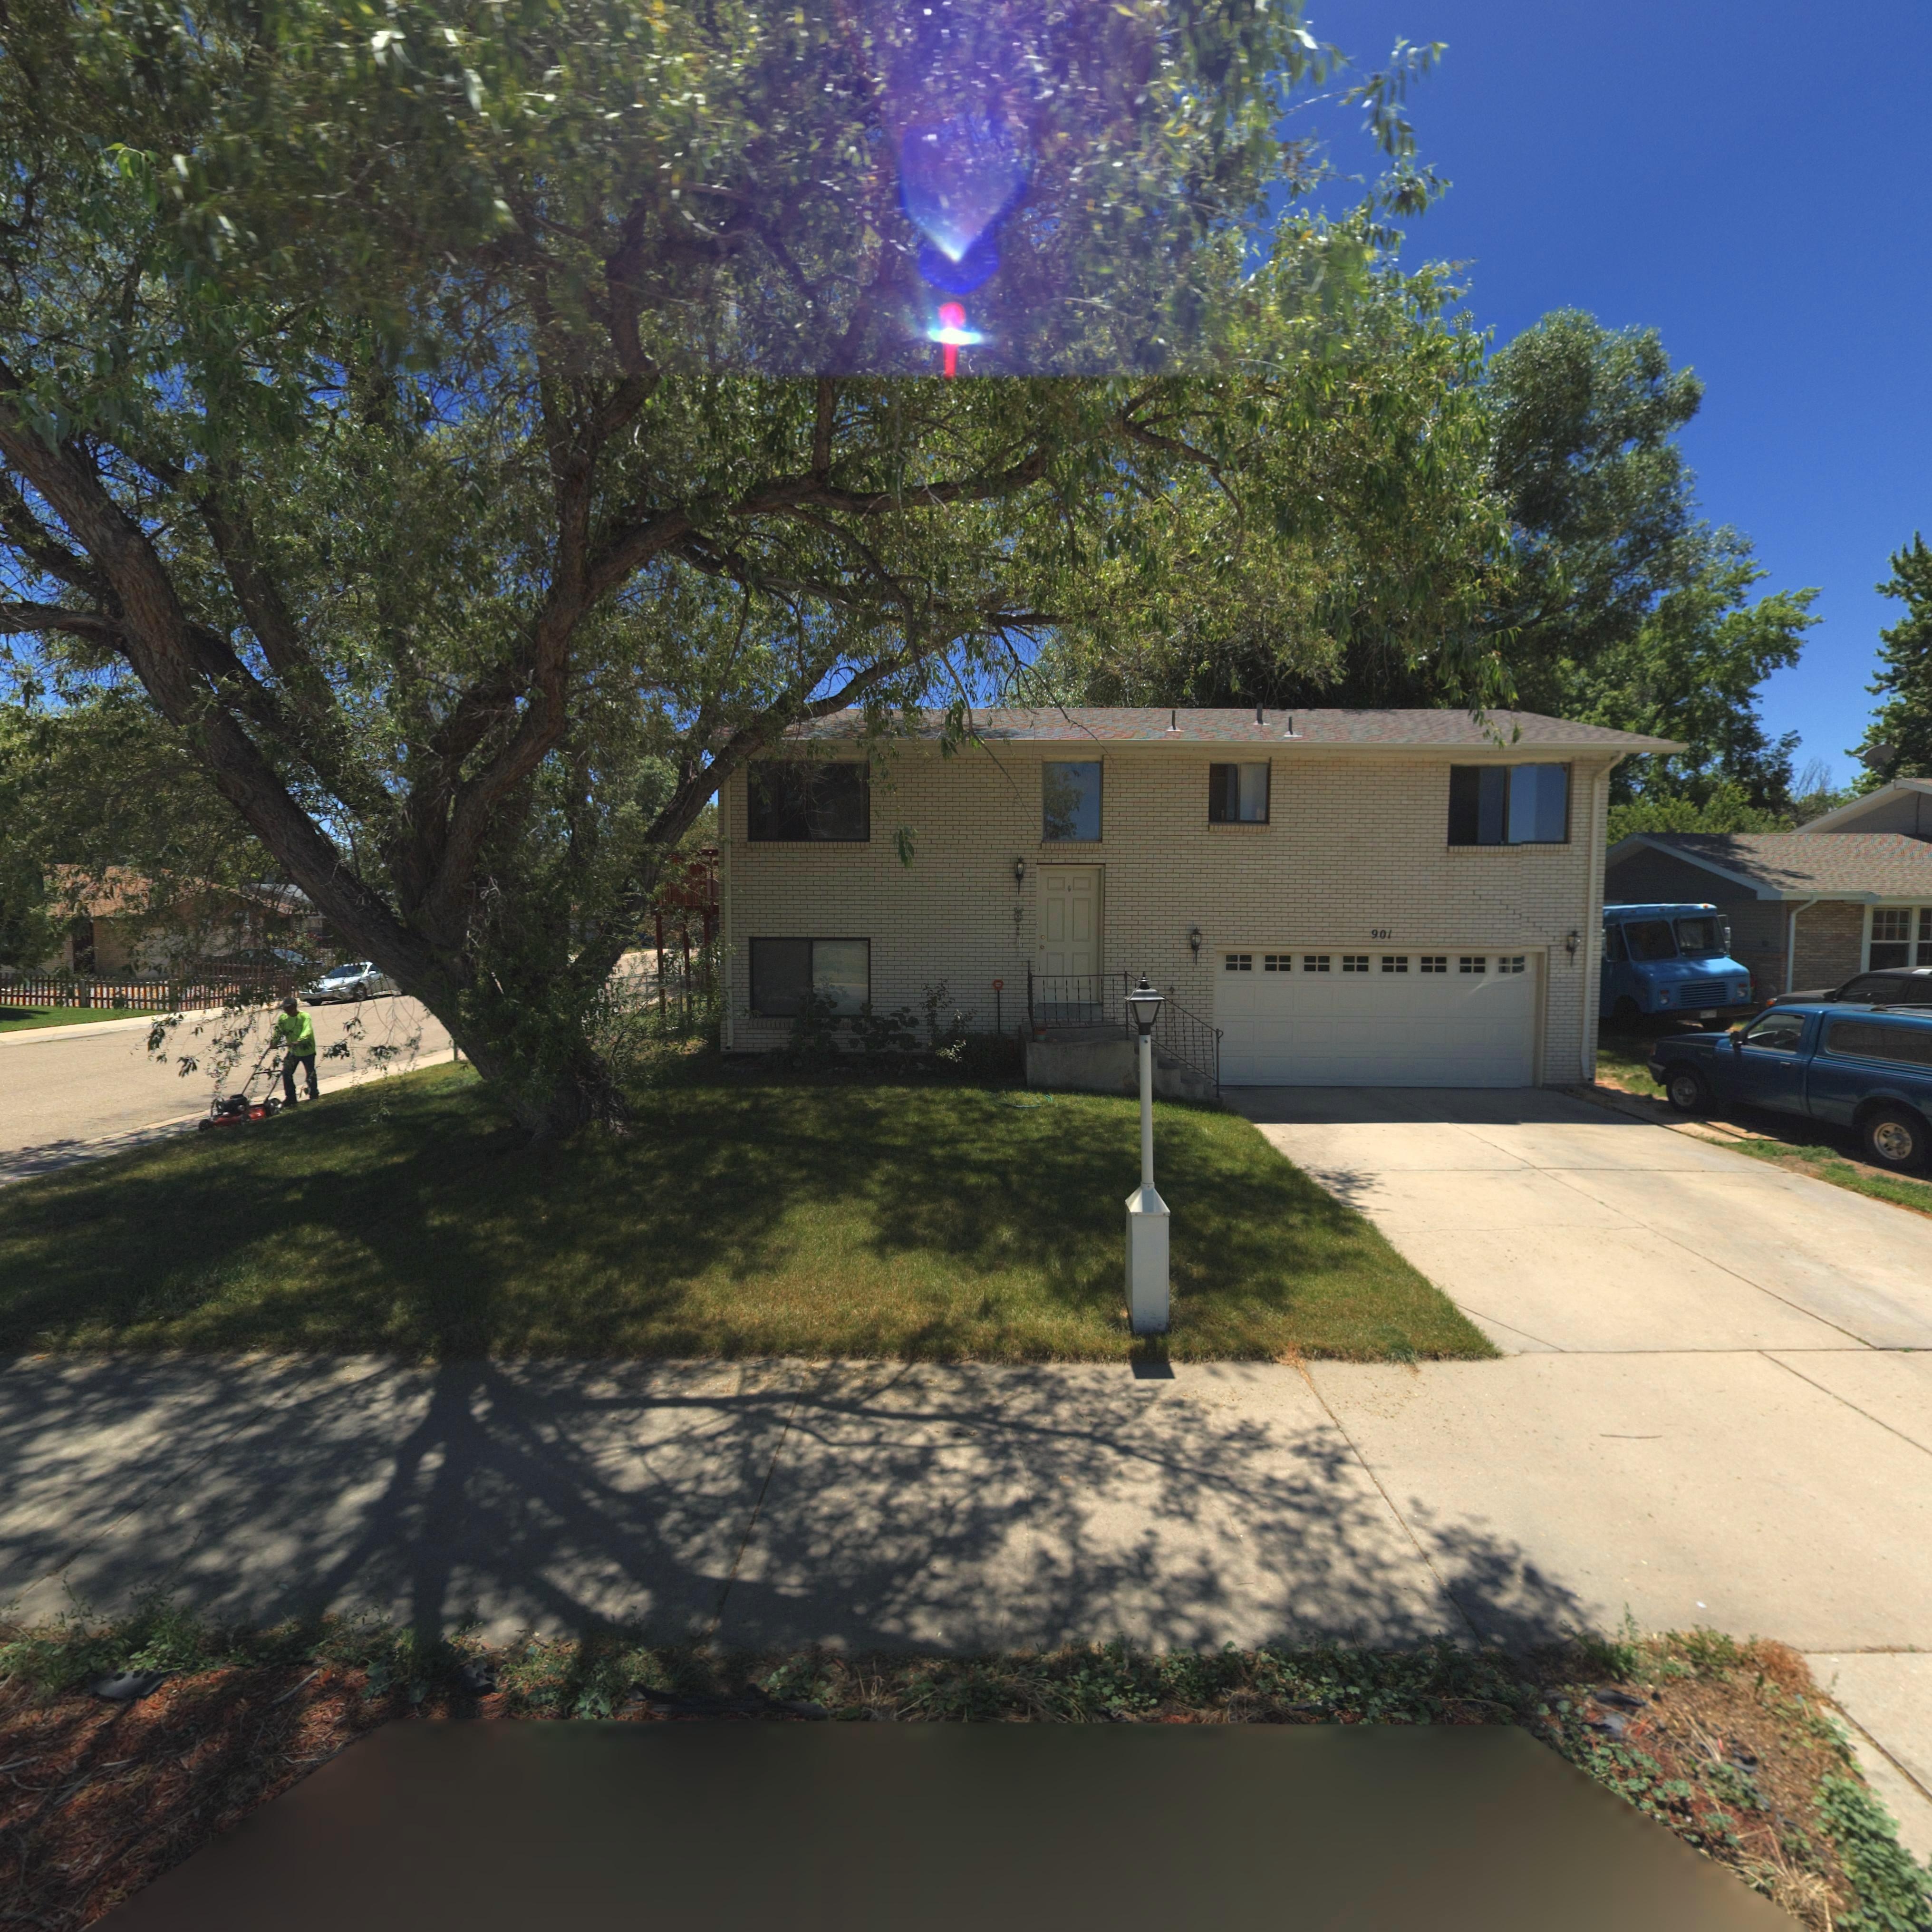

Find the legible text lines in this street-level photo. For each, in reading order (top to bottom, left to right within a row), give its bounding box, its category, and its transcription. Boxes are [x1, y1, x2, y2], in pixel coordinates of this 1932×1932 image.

[1371, 928, 1393, 939] StreetNumber: 901